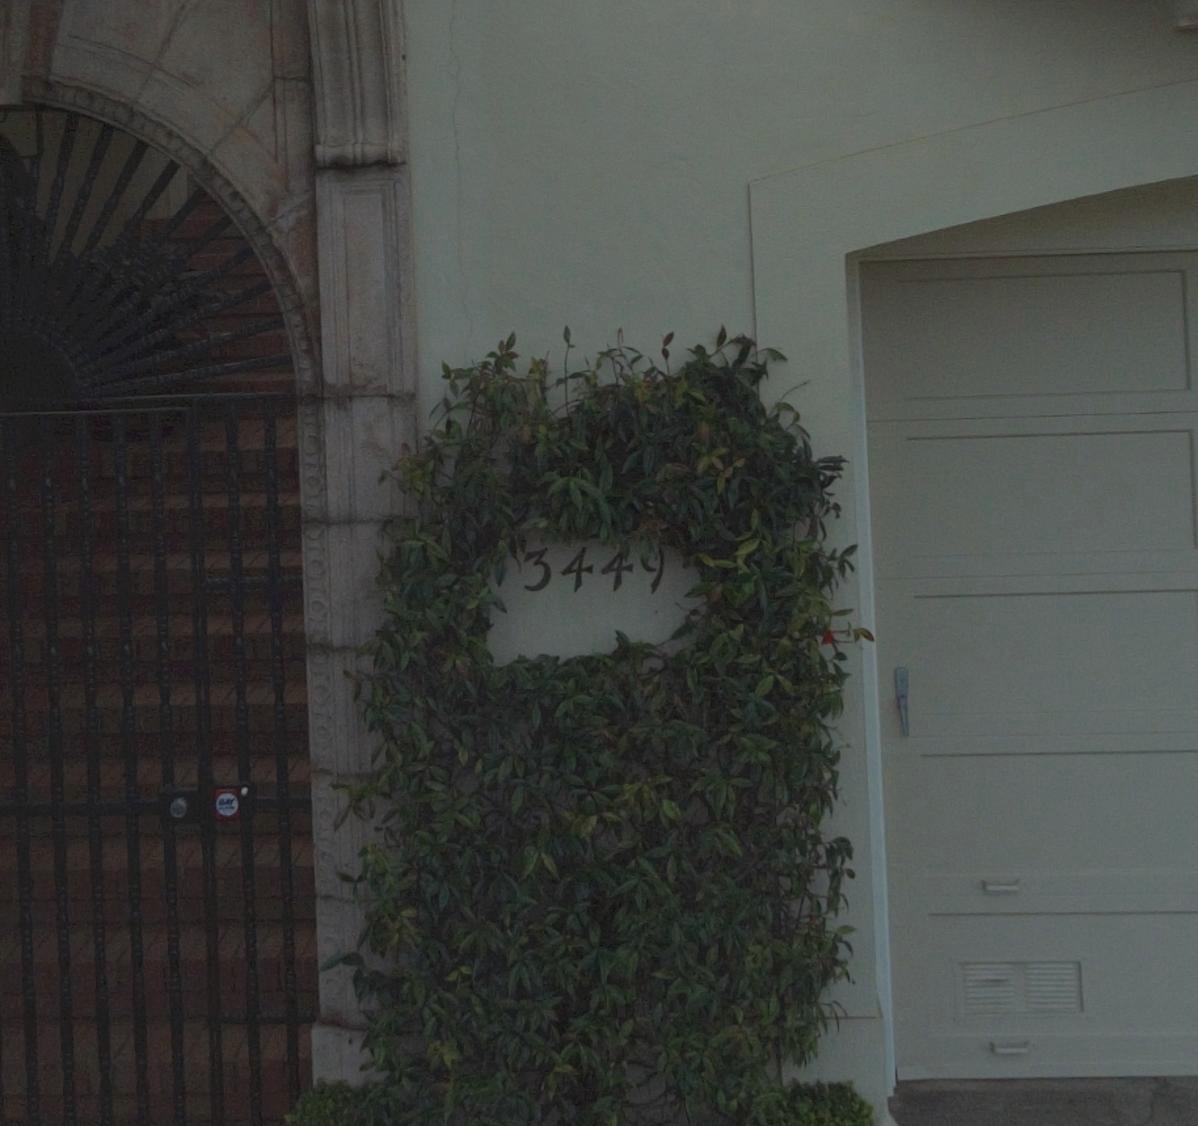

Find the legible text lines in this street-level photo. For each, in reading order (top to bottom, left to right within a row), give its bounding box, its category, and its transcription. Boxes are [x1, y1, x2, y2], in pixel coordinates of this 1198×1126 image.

[521, 542, 667, 595] StreetNumber: 3449